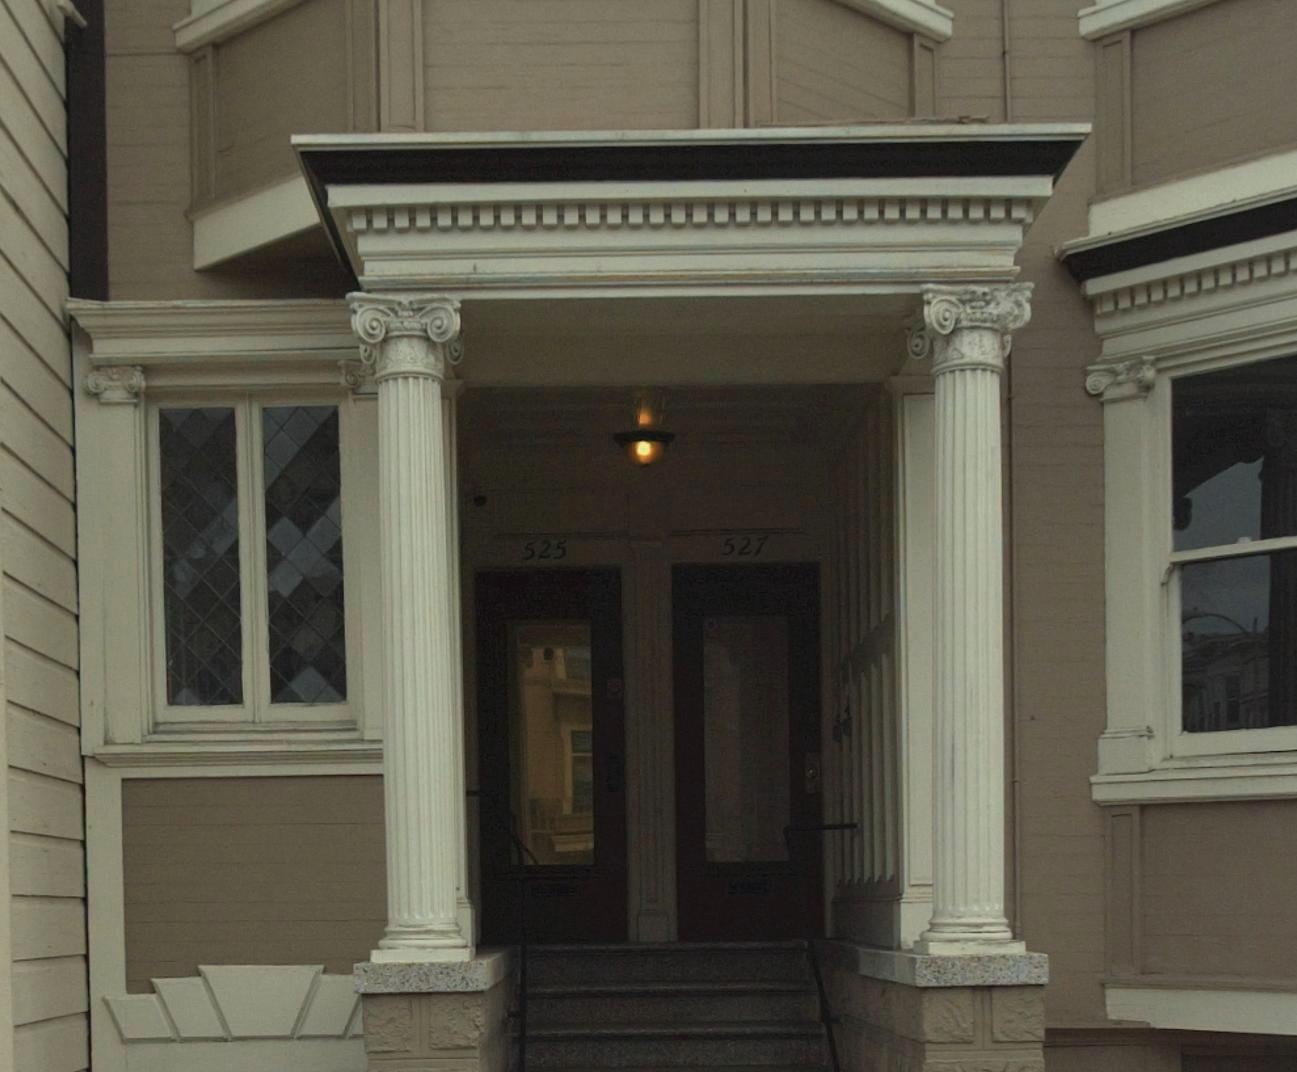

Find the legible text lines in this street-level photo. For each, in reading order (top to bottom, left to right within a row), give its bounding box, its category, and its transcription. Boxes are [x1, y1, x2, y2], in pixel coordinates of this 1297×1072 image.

[521, 538, 570, 561] StreetNumber: 525
[720, 534, 772, 558] StreetNumber: 527